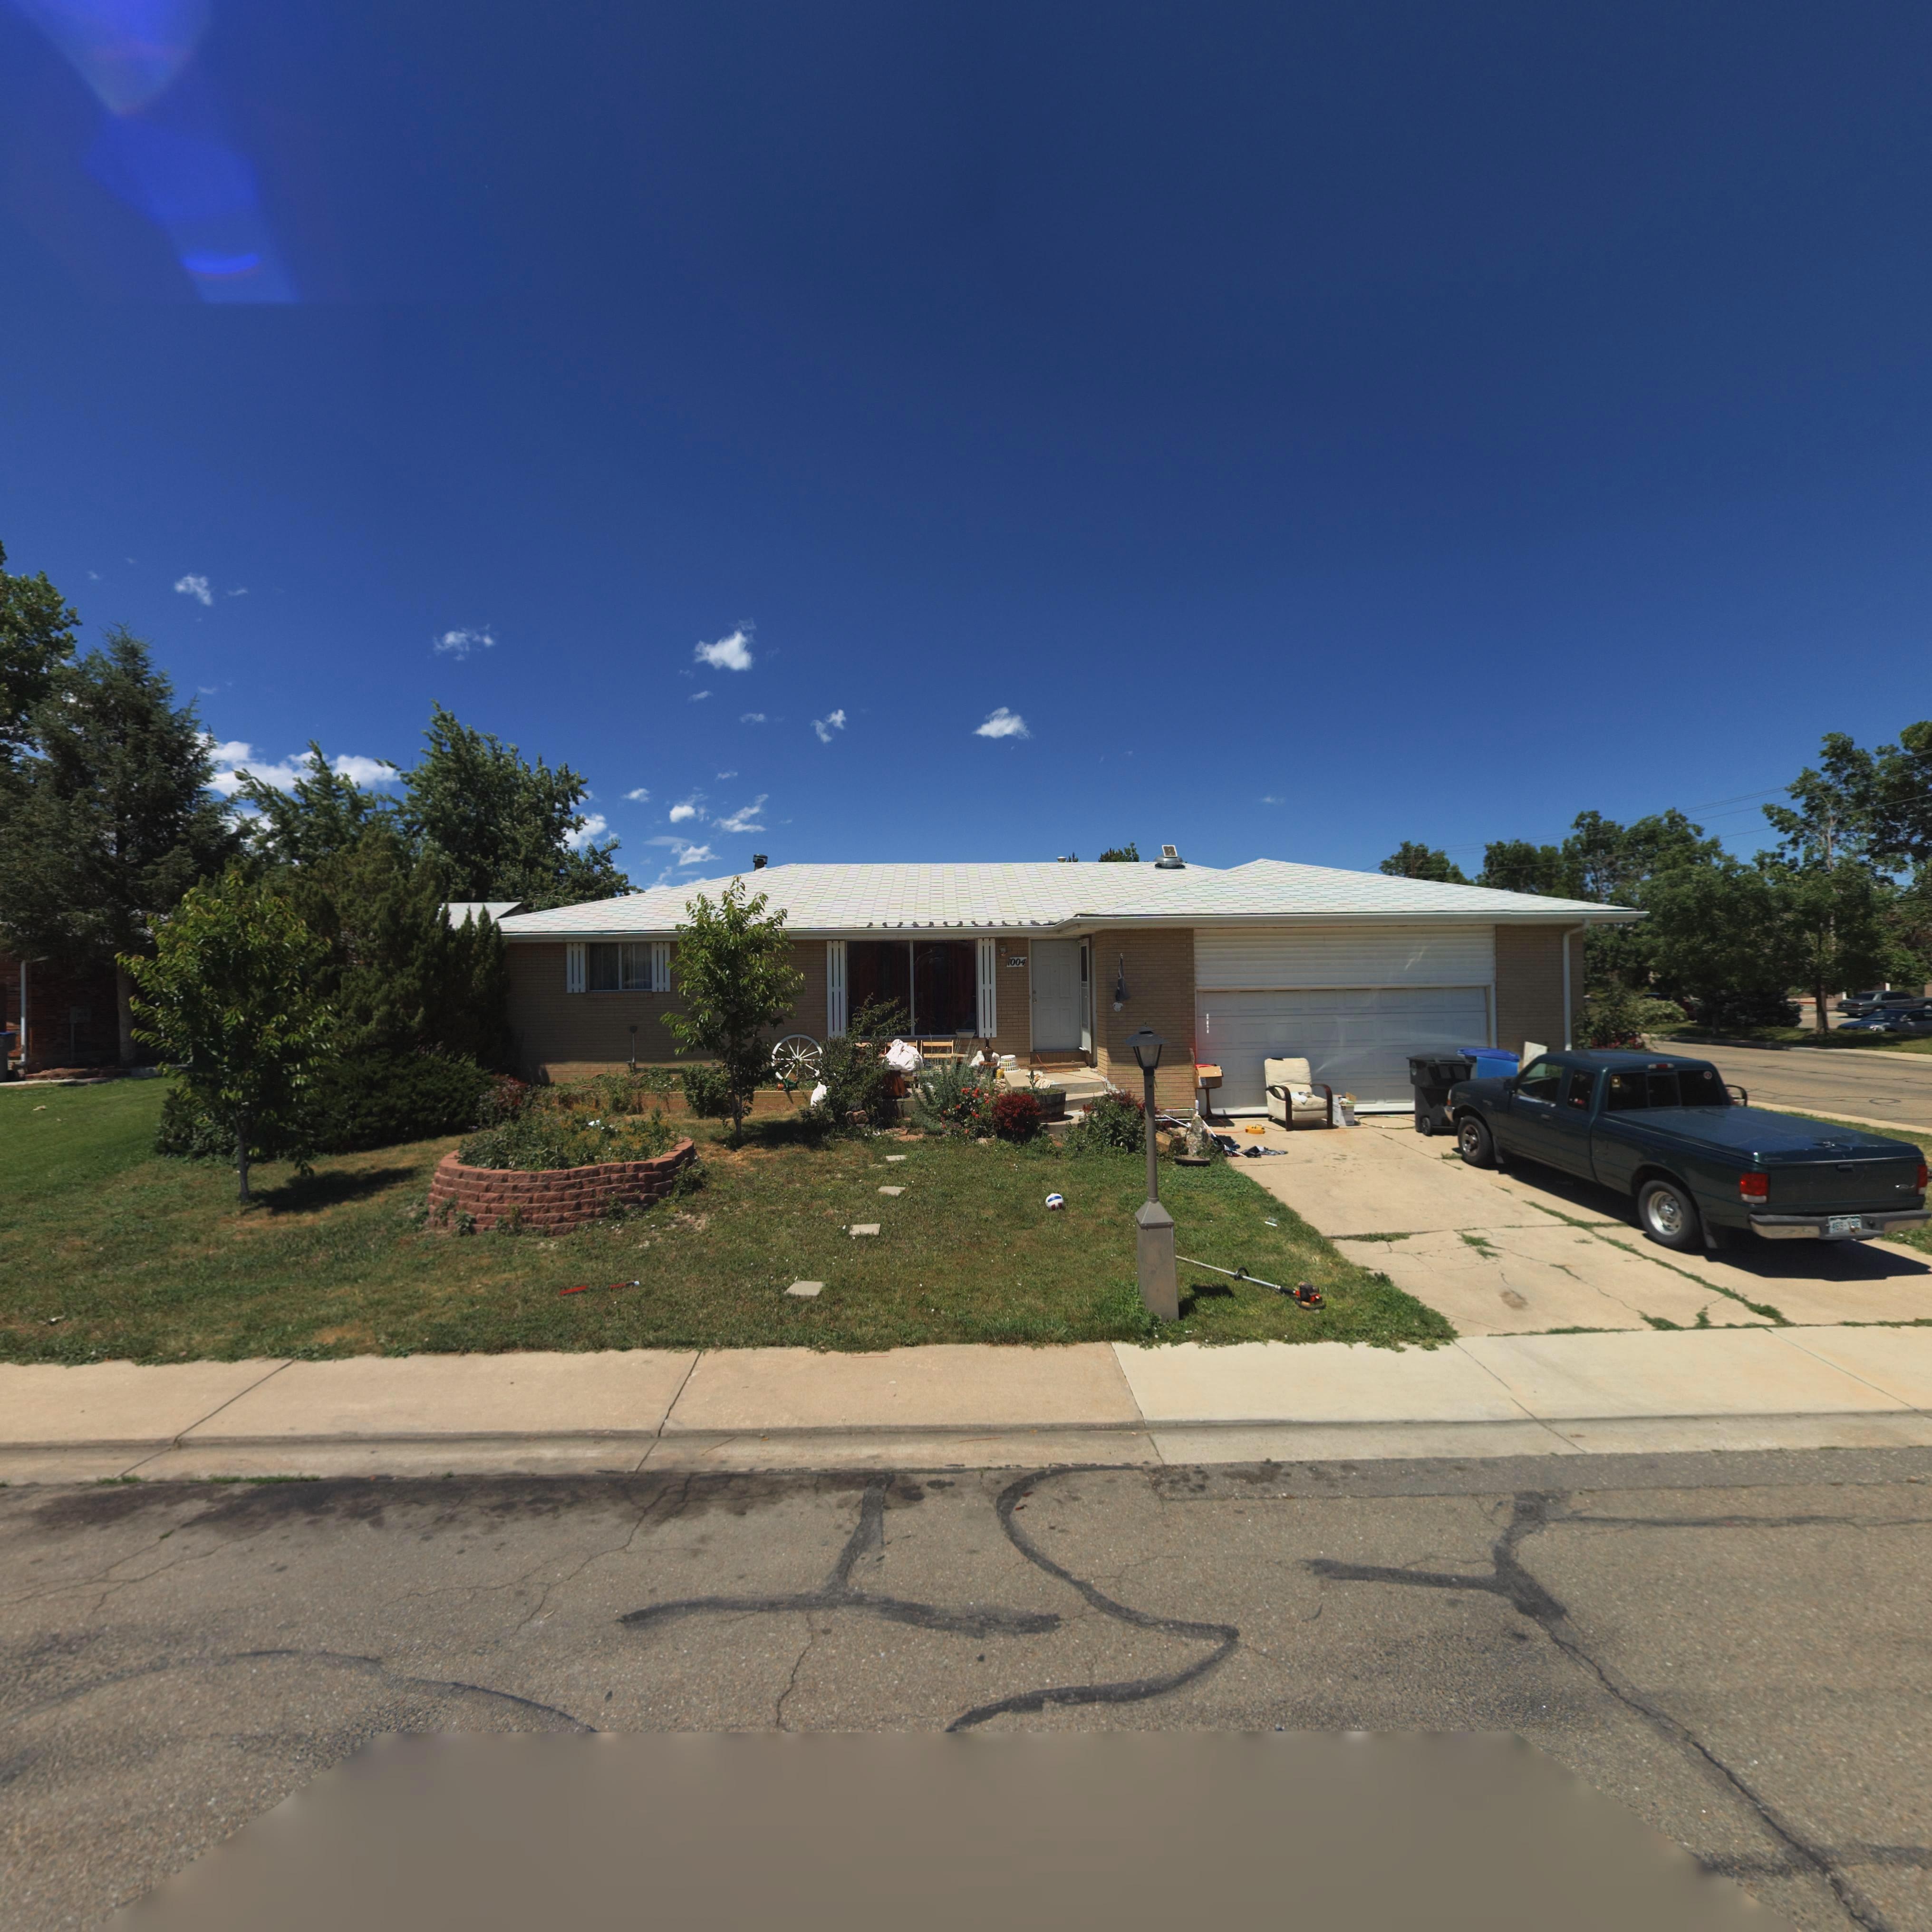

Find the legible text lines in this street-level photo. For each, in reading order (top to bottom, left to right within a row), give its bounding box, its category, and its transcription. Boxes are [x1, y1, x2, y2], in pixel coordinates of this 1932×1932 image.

[1007, 958, 1026, 966] StreetNumber: 1004